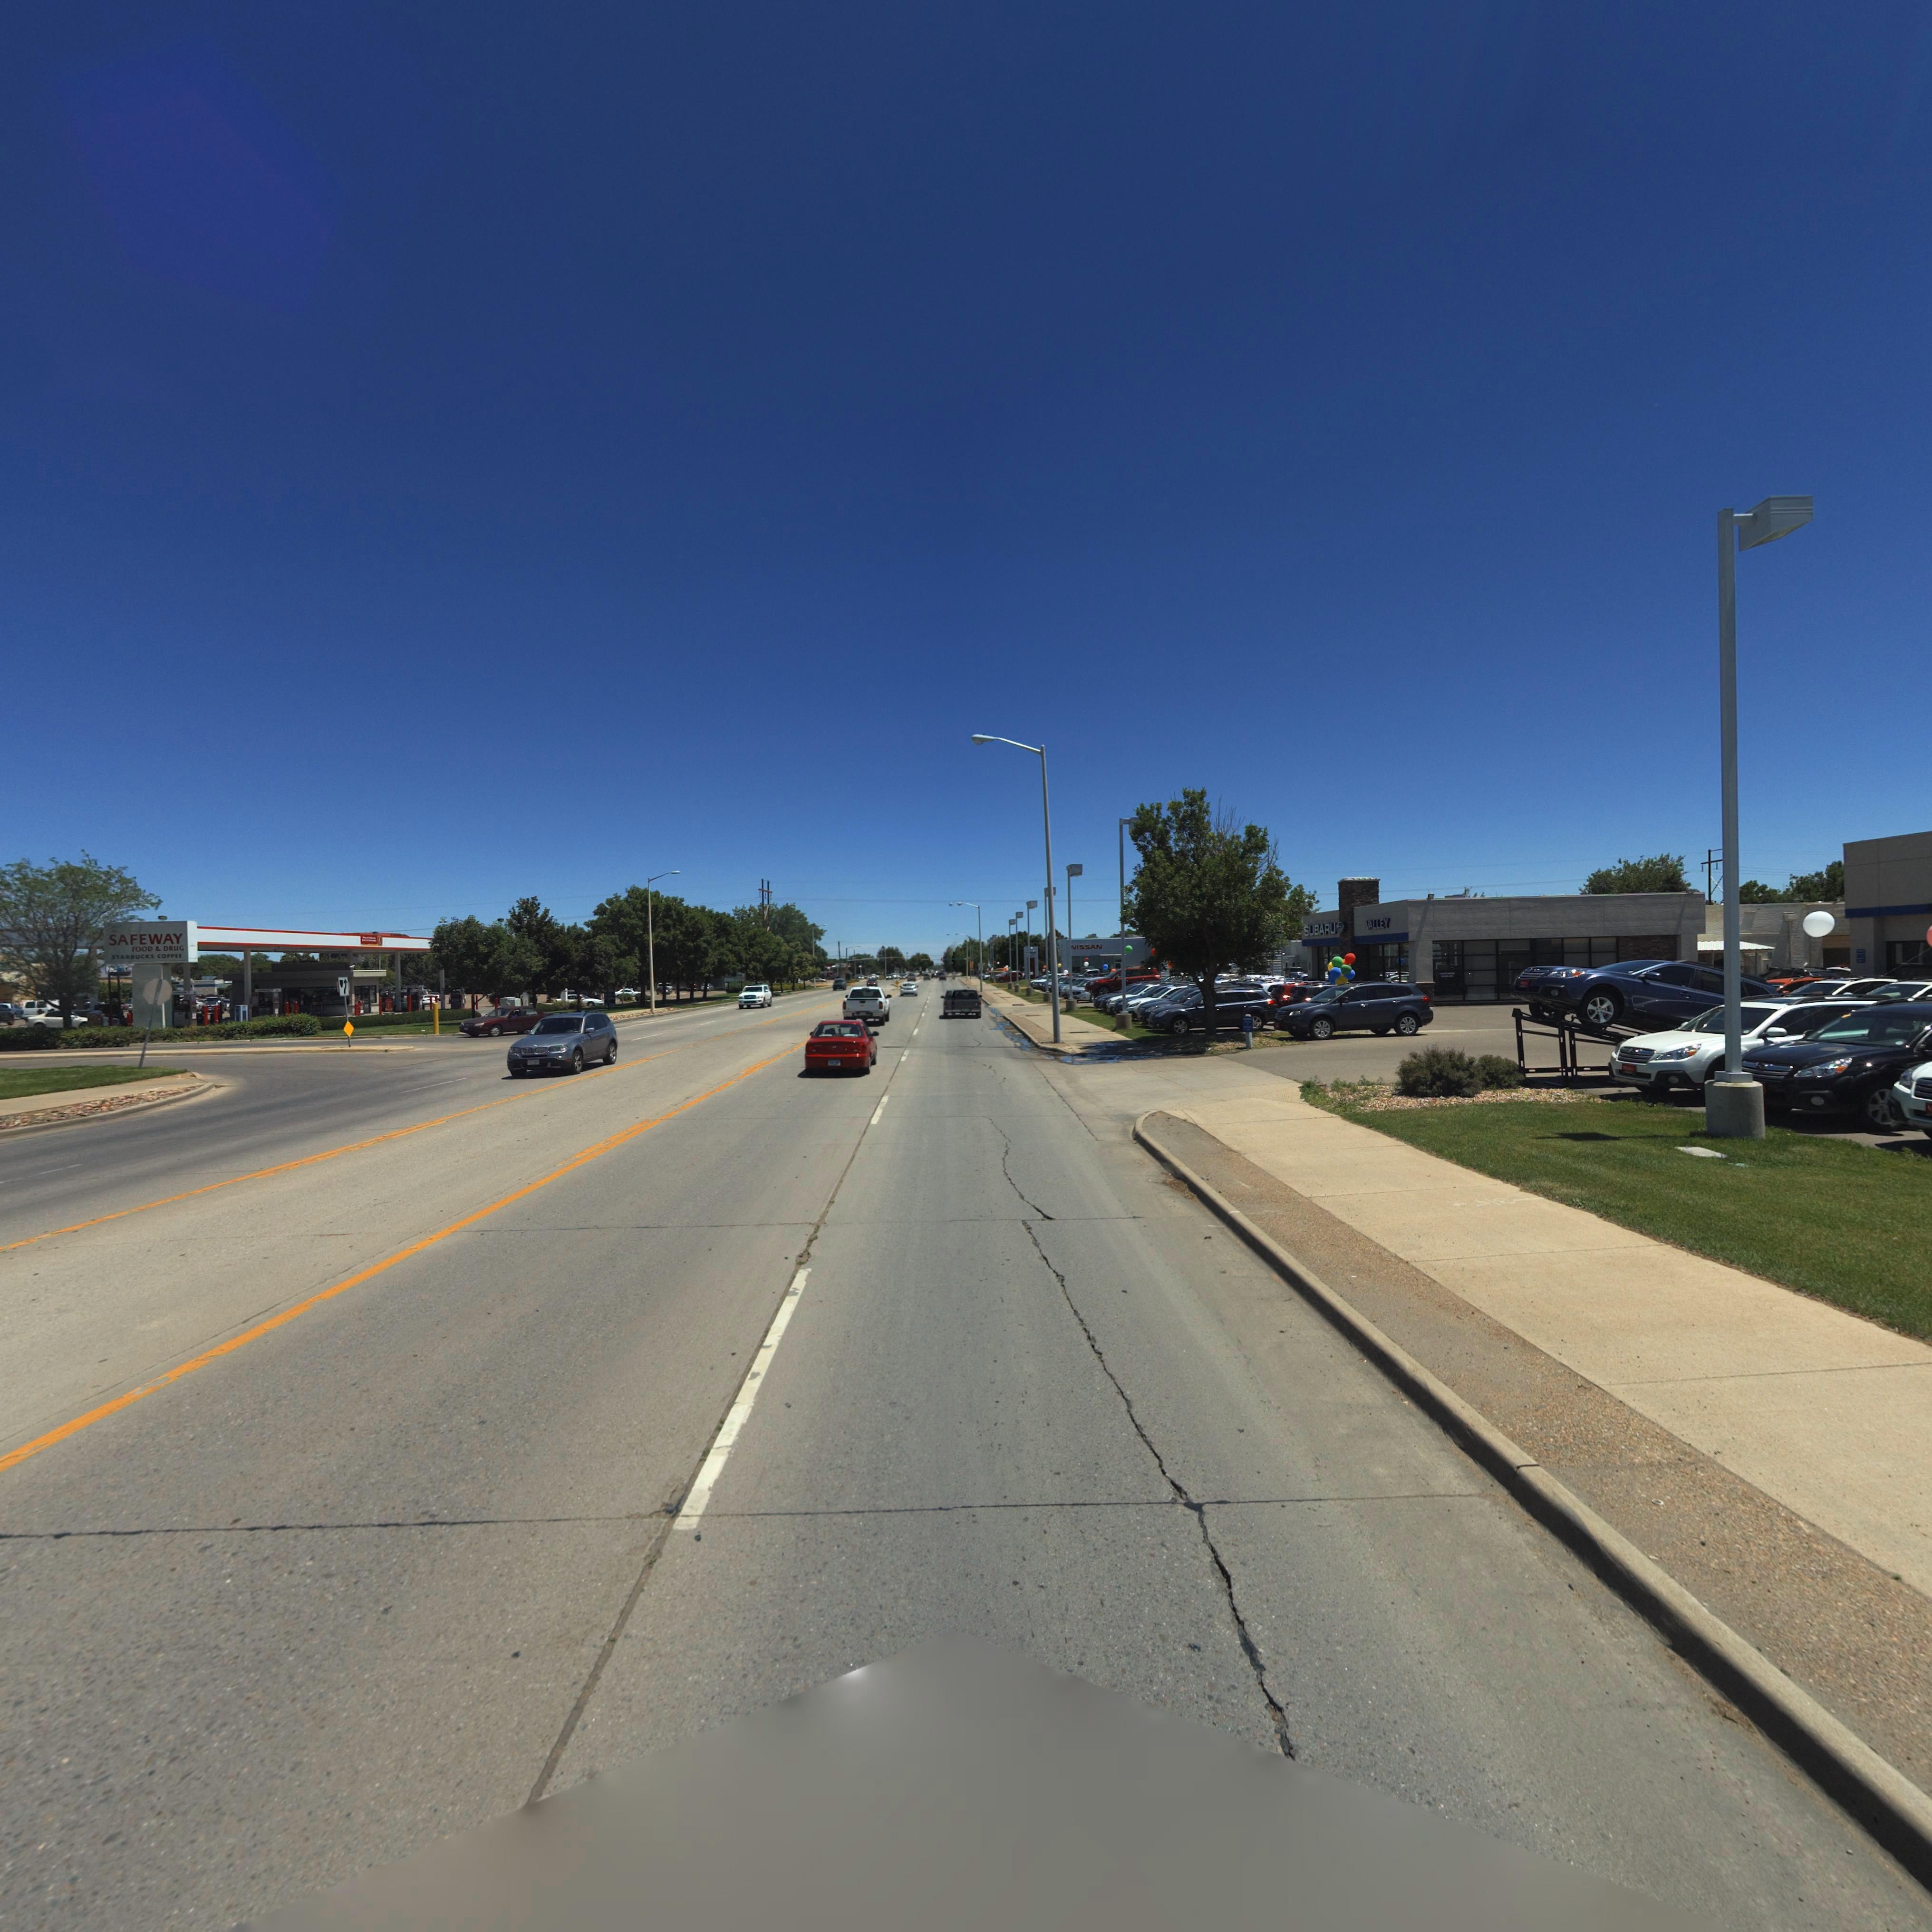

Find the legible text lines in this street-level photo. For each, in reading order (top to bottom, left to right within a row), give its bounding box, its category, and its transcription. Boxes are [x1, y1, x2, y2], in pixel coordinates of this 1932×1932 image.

[1303, 922, 1336, 937] BusinessName: SUBARU
[1365, 918, 1389, 930] BusinessName: VALLEY
[108, 932, 183, 946] BusinessName: SAFEWAY
[132, 945, 184, 952] BusinessName: FOOD & DRUG
[1071, 944, 1102, 950] BusinessName: NISSAN
[111, 953, 182, 959] BusinessName: STA*BUCKS COFF**